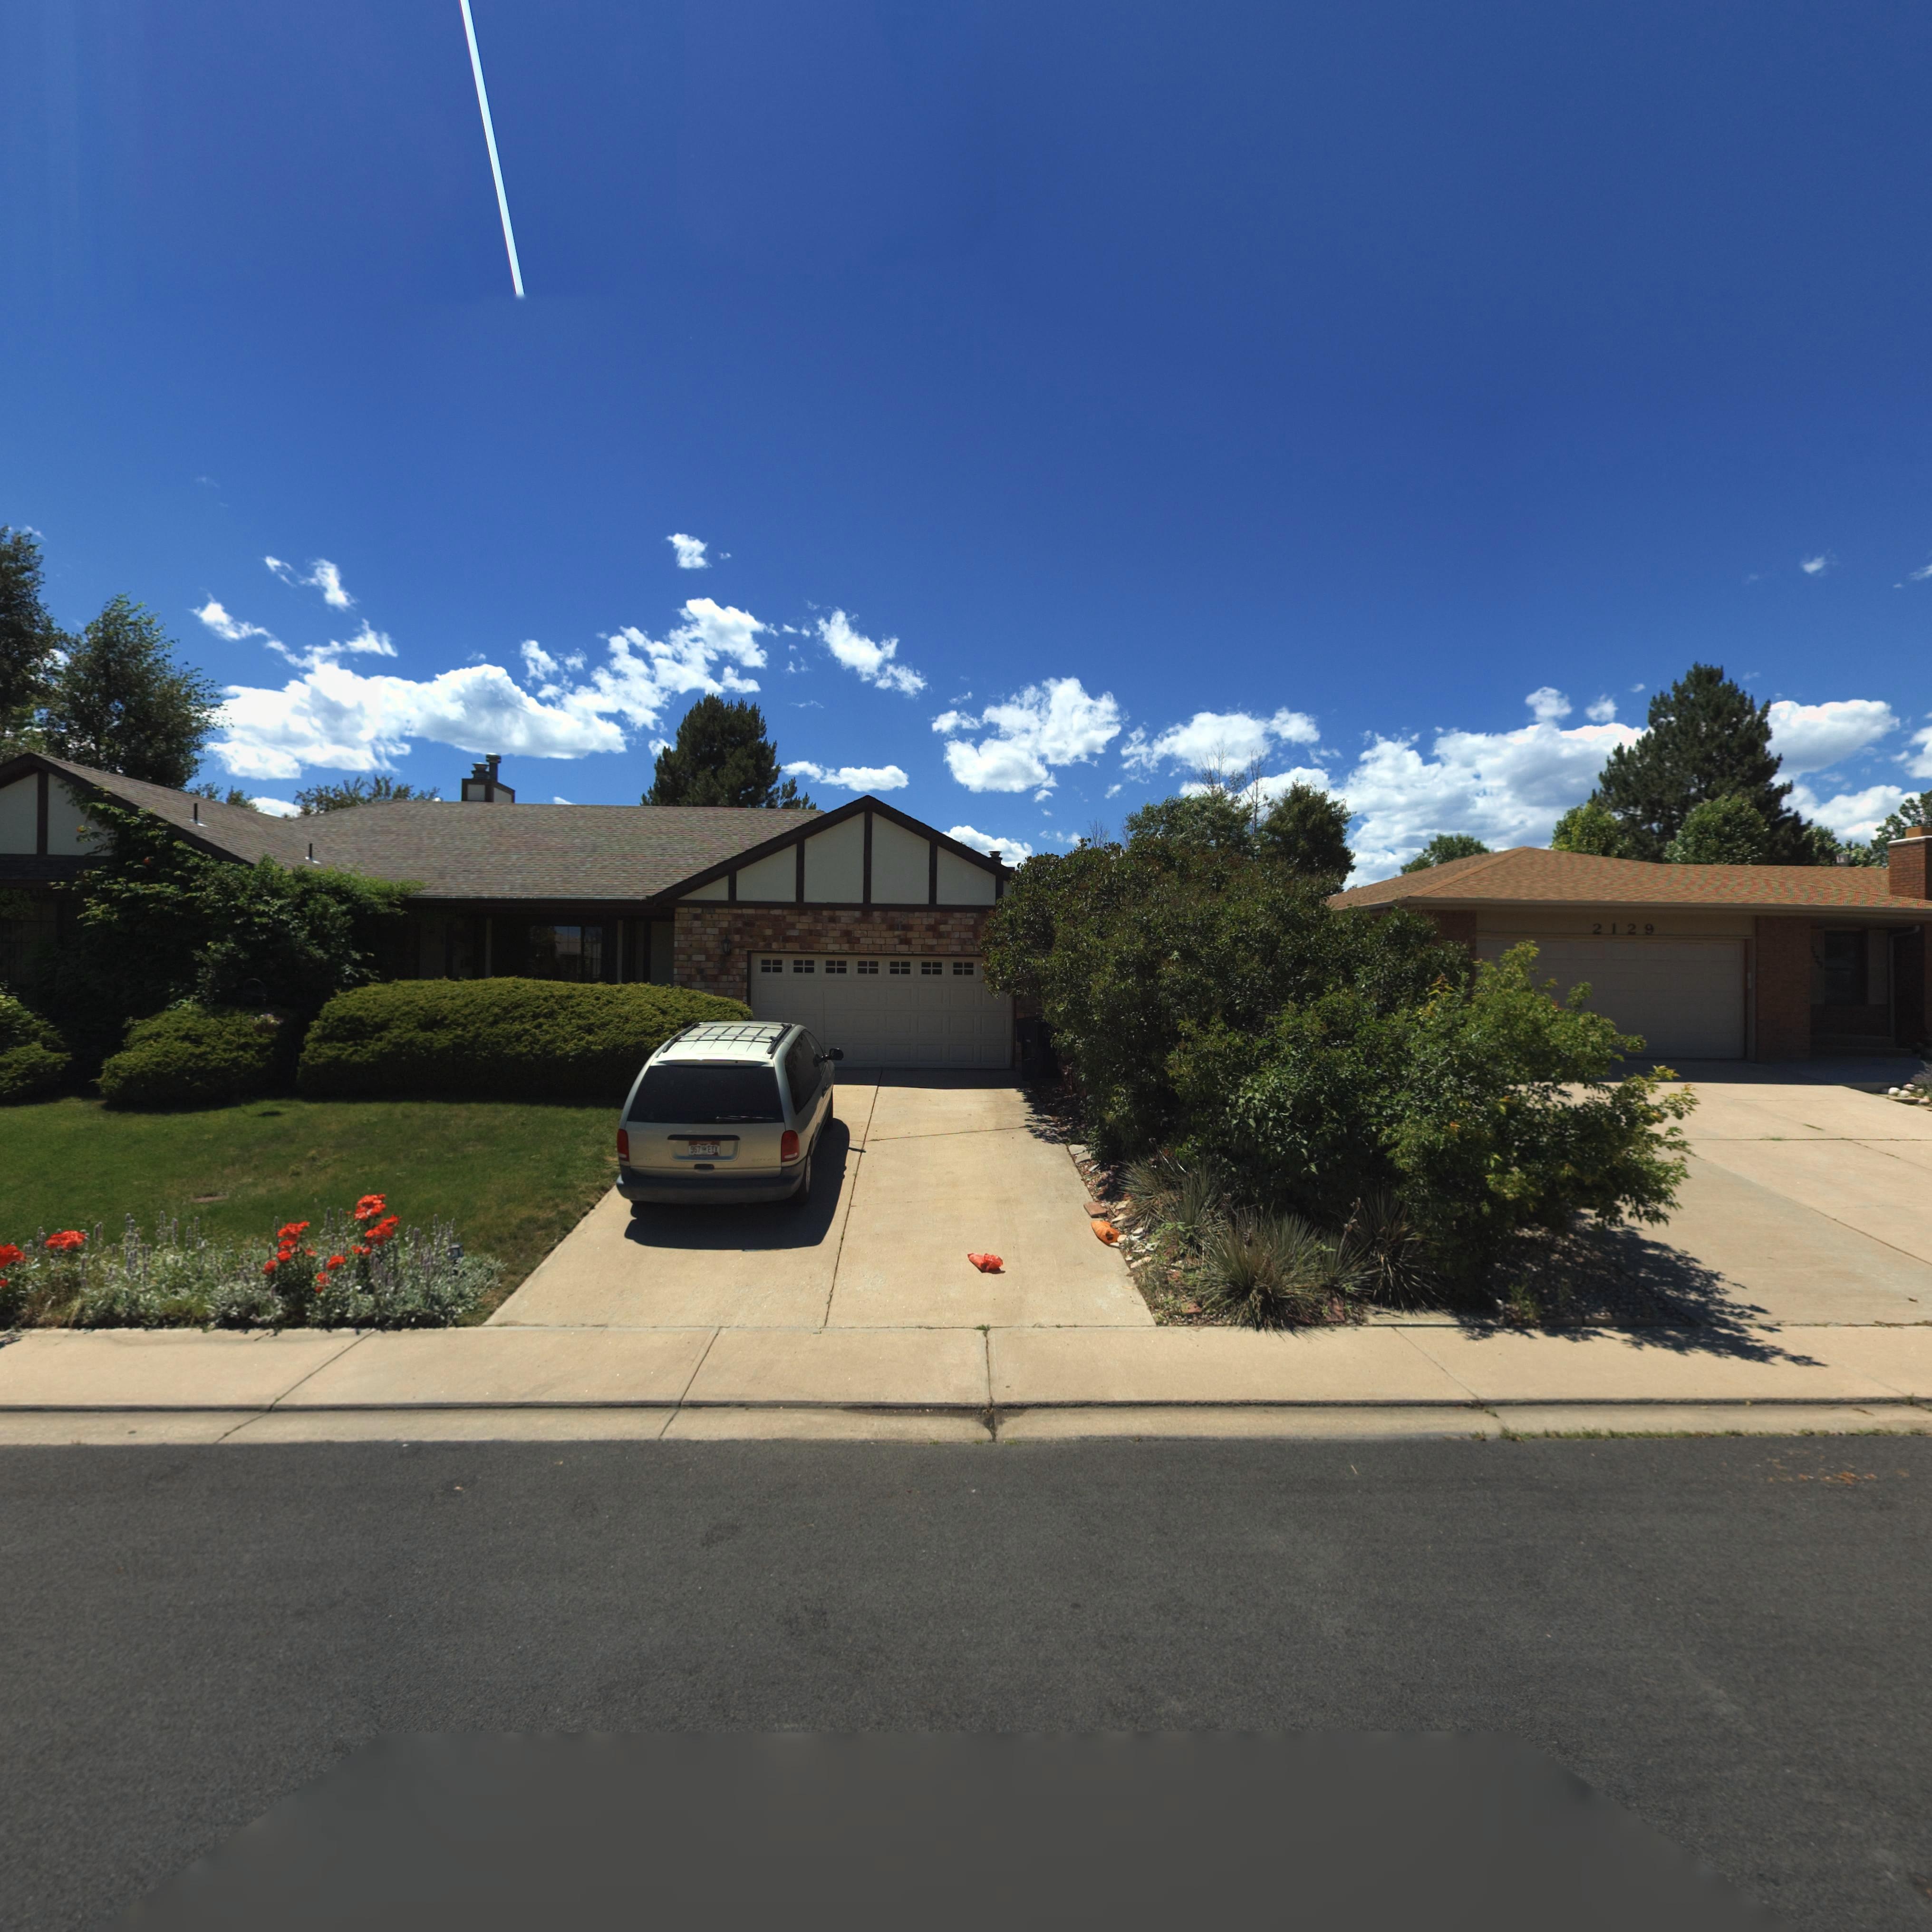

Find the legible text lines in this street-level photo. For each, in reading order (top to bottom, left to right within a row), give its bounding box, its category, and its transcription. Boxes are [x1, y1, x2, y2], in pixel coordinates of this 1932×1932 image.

[1590, 922, 1655, 936] StreetNumber: 2129
[1810, 945, 1823, 969] StreetNumber: 2129